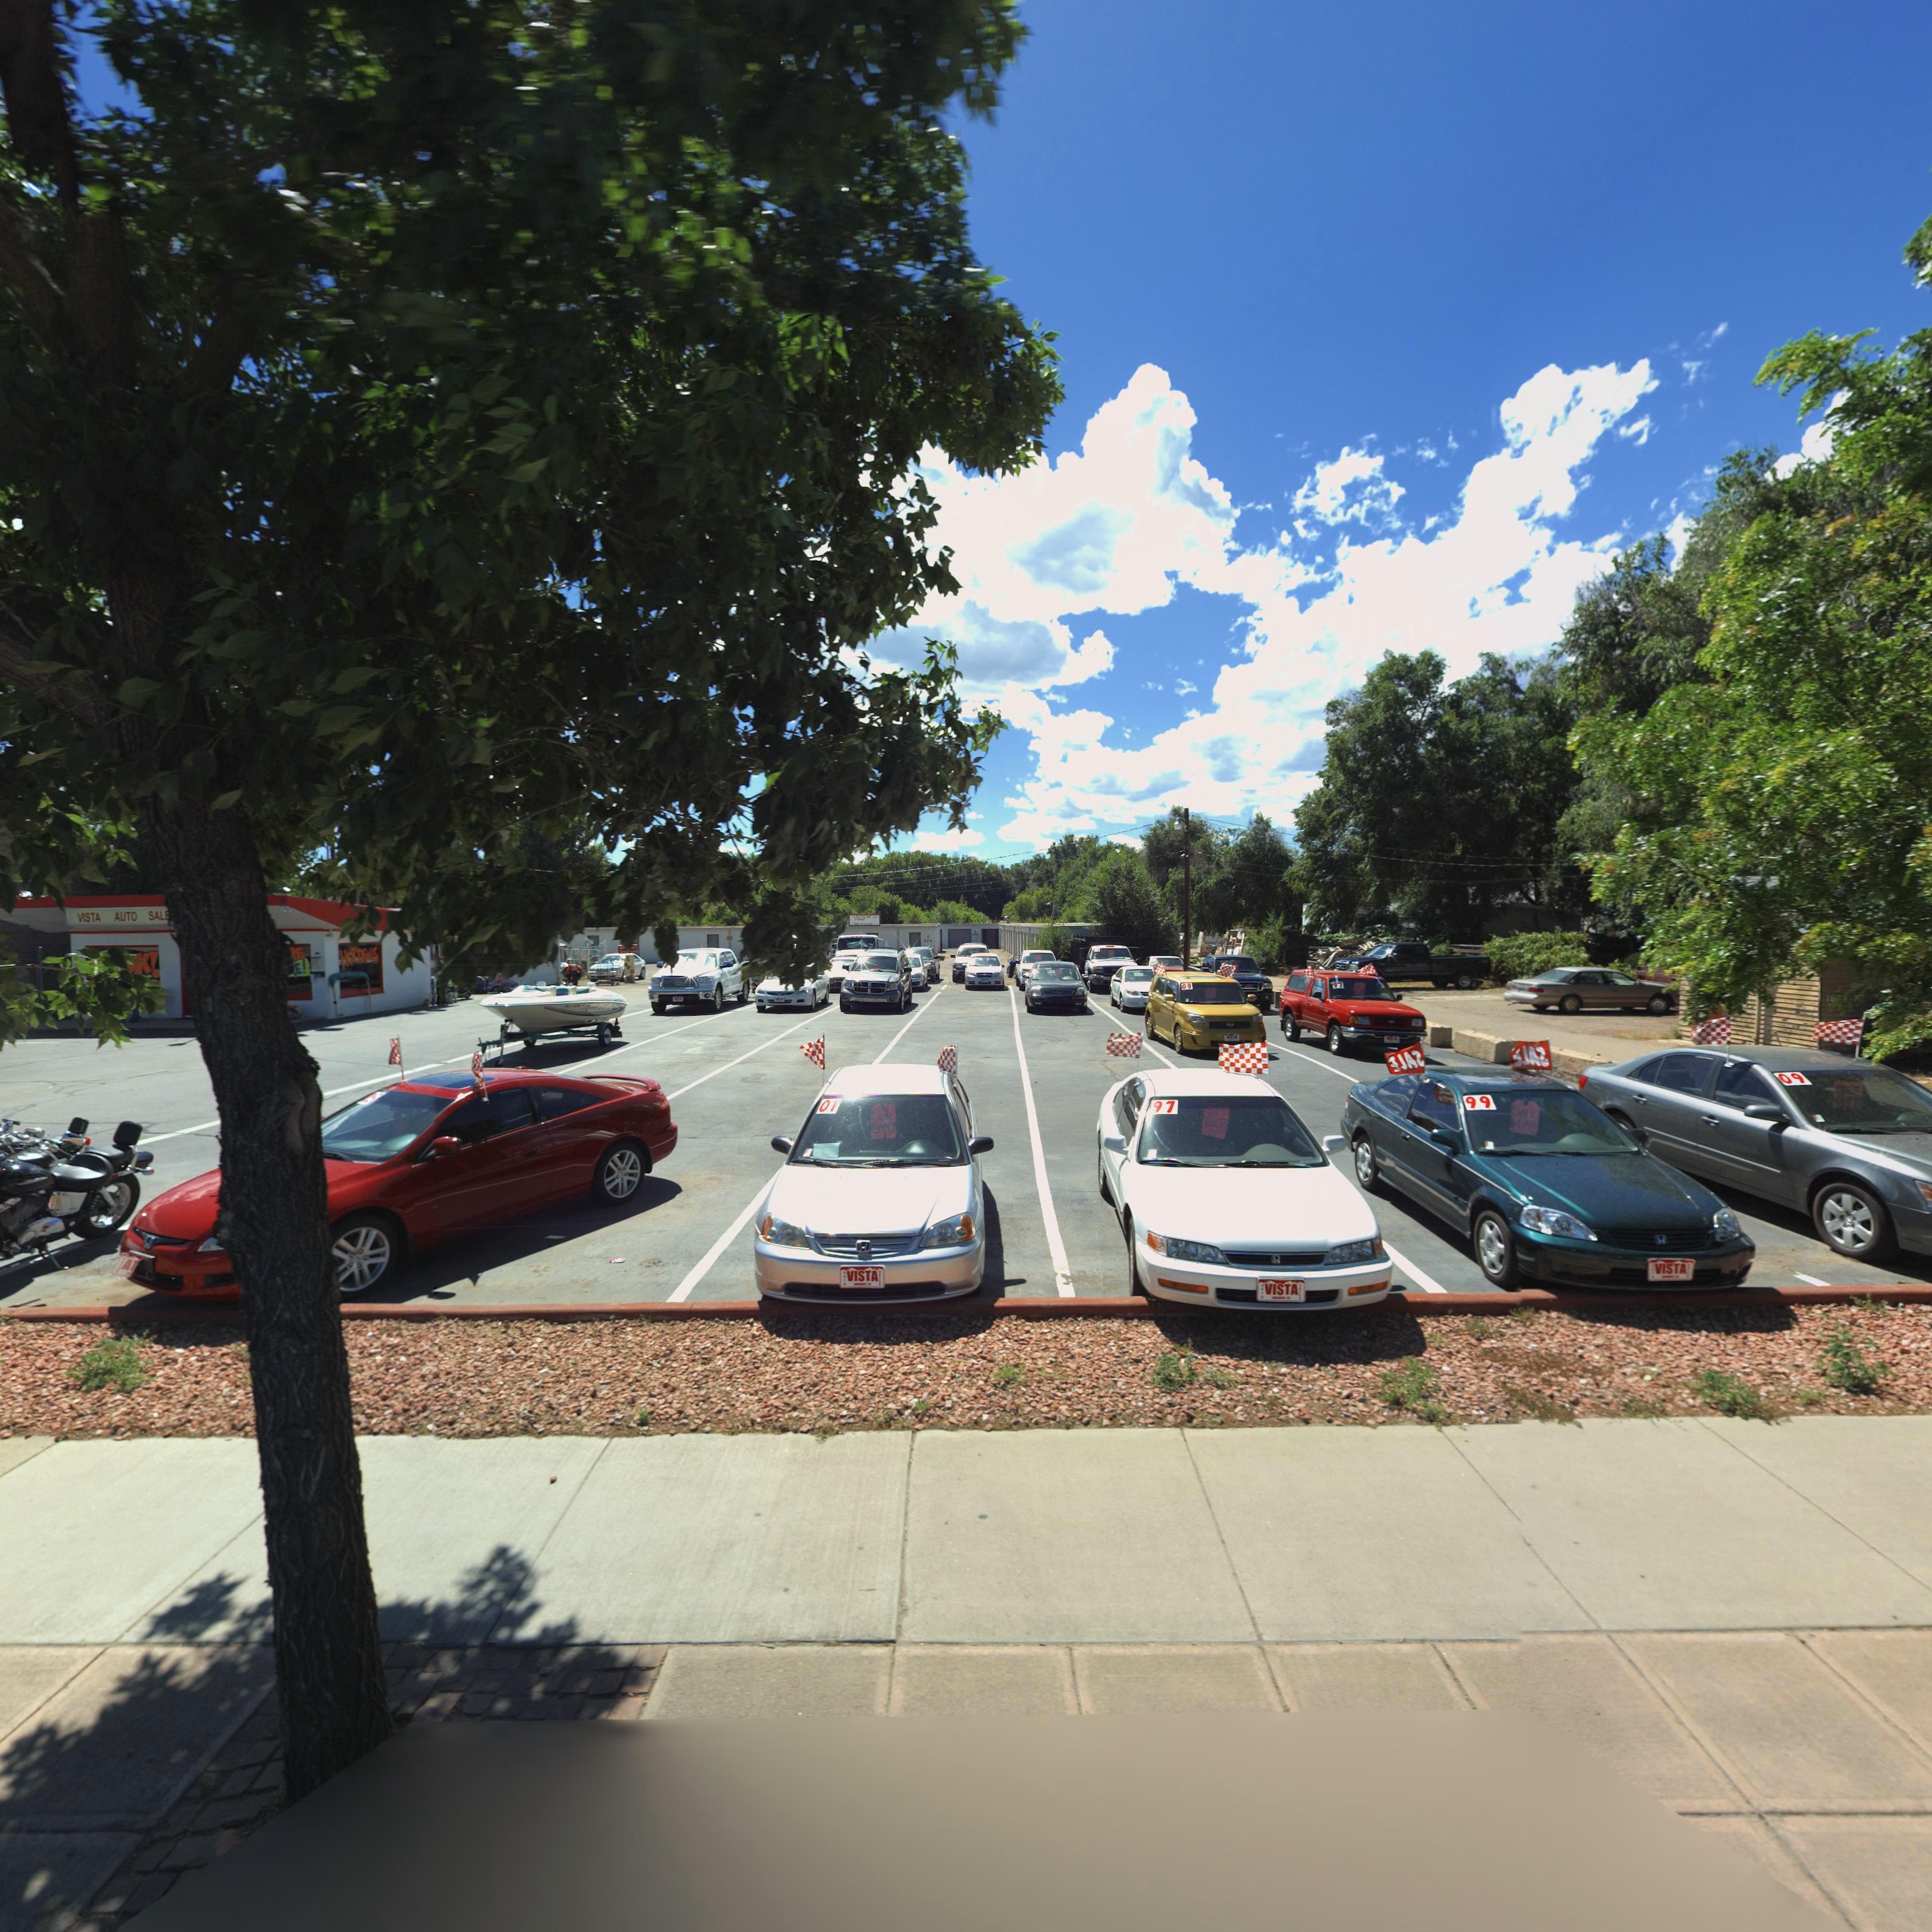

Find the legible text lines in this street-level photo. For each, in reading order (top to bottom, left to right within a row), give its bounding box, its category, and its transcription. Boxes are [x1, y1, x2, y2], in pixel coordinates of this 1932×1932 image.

[77, 910, 171, 922] BusinessName: VISTA AUTO SALE